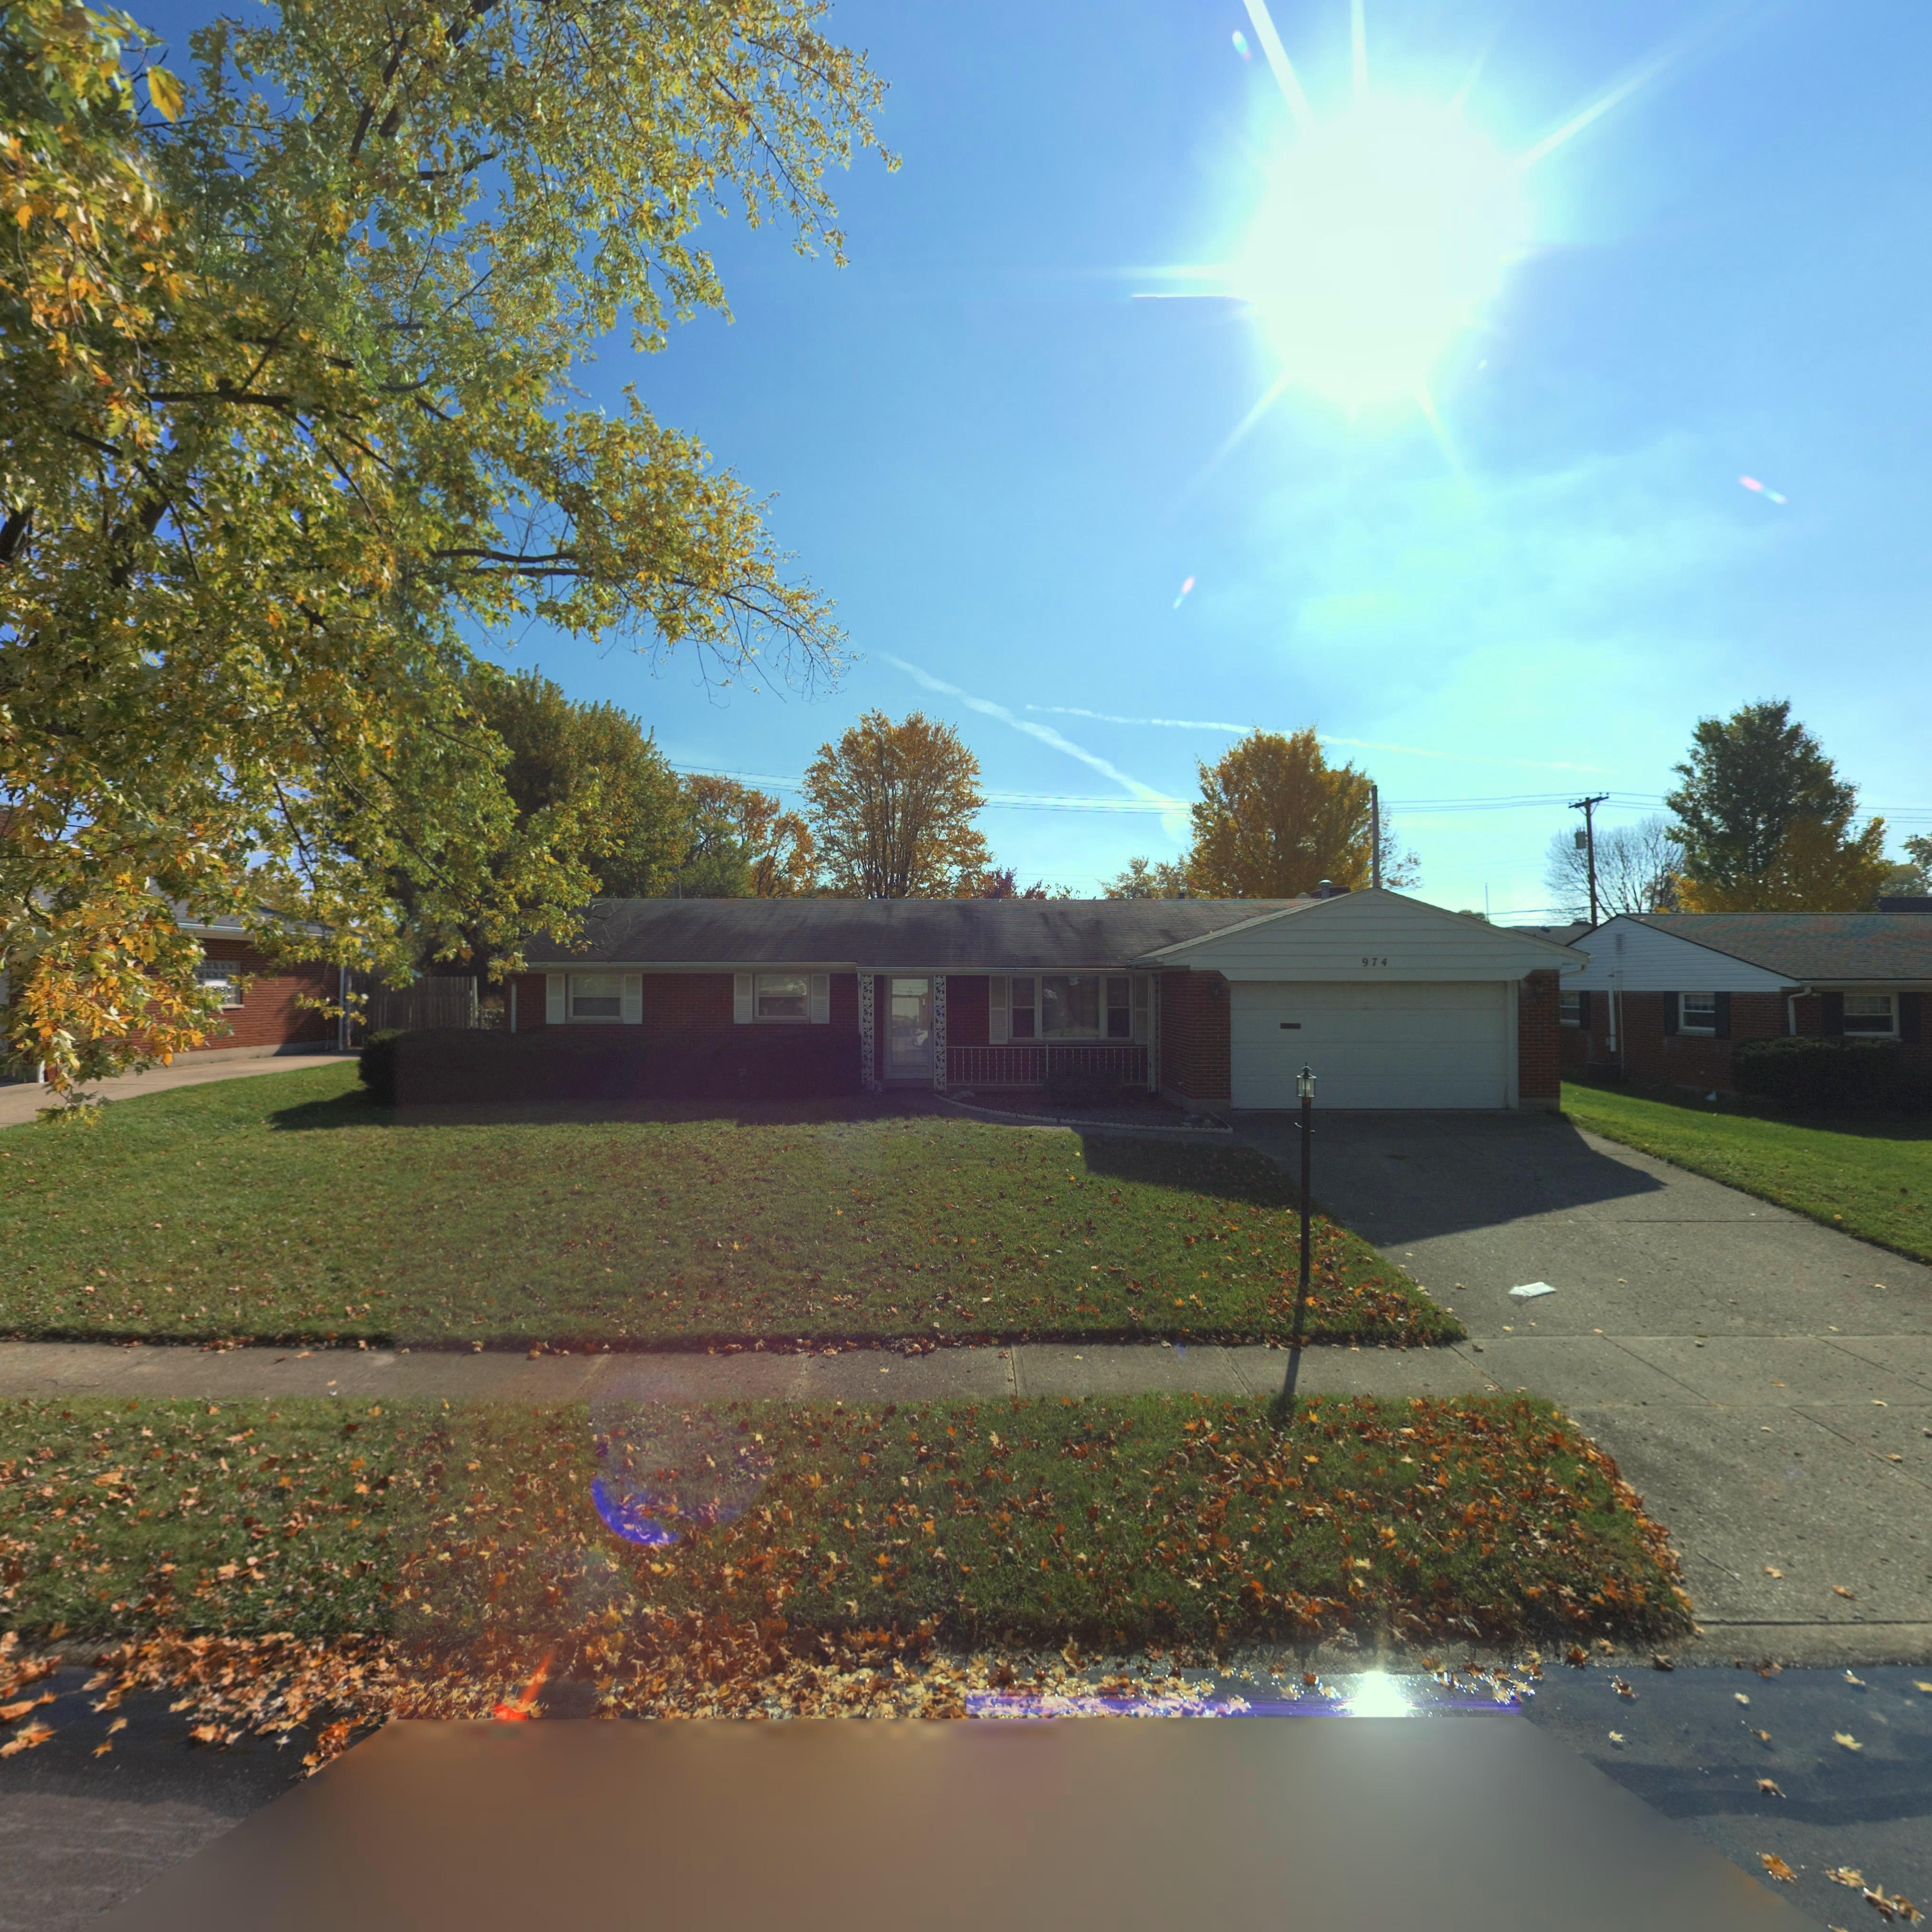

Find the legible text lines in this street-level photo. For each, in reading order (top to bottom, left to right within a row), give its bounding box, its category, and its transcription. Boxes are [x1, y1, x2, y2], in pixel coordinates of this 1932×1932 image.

[1360, 956, 1389, 968] StreetNumber: 974